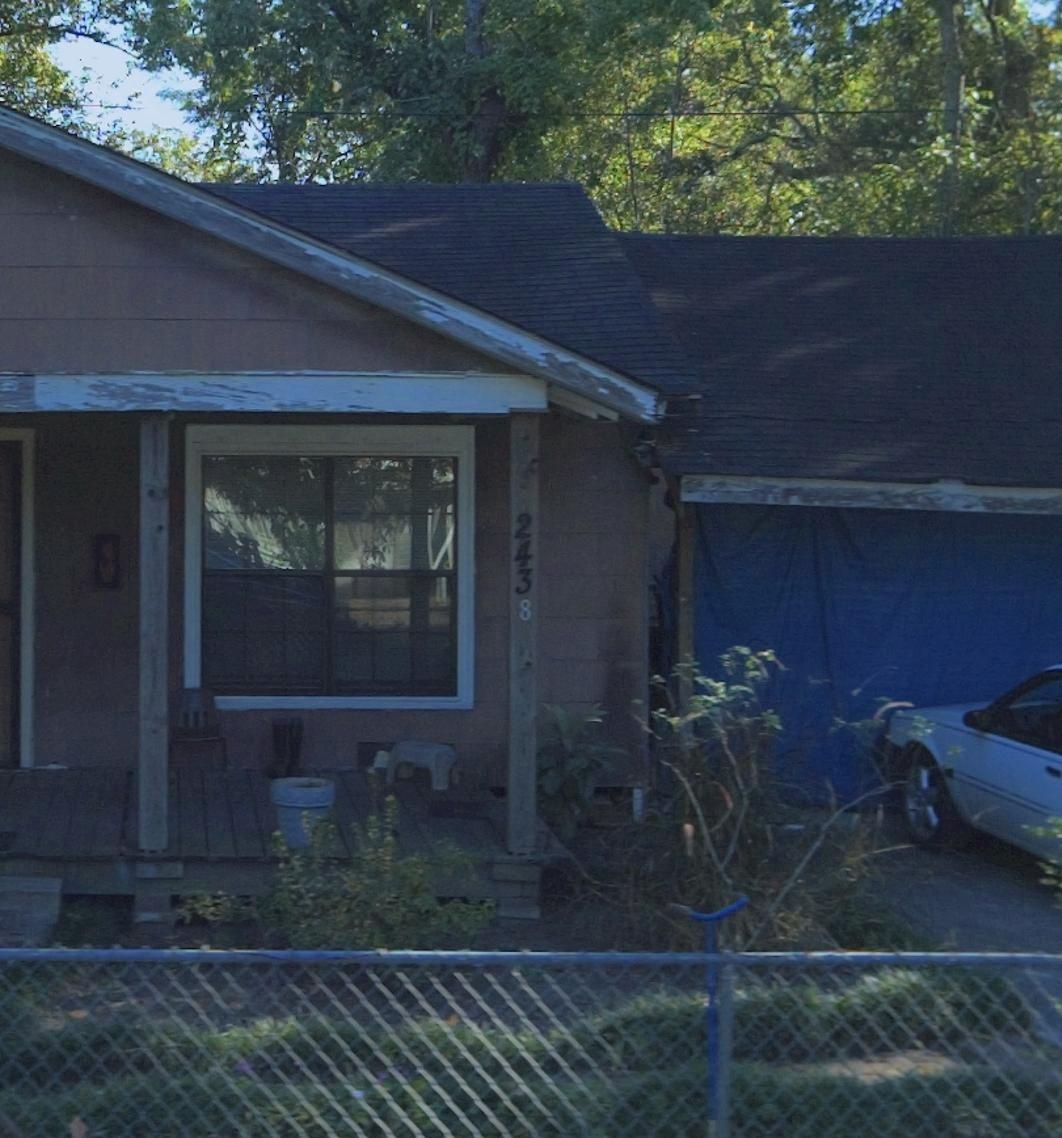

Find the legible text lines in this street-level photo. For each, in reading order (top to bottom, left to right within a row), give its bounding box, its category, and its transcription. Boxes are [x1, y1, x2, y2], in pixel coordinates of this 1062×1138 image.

[513, 511, 535, 623] StreetNumber: 2438